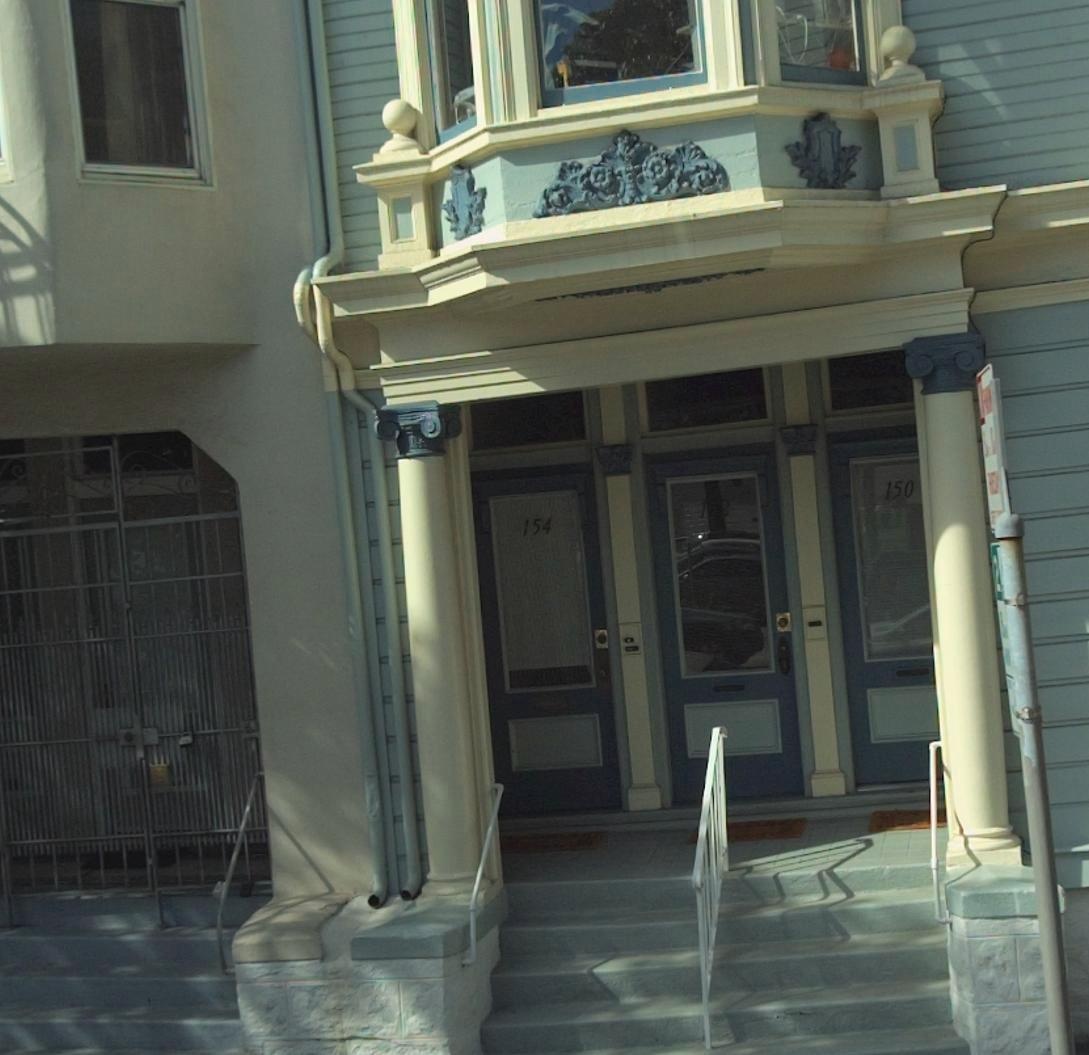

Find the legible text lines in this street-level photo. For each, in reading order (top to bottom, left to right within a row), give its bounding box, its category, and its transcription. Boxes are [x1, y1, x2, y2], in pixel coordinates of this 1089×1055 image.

[882, 479, 917, 500] StreetNumber: 150
[521, 516, 554, 536] StreetNumber: 154